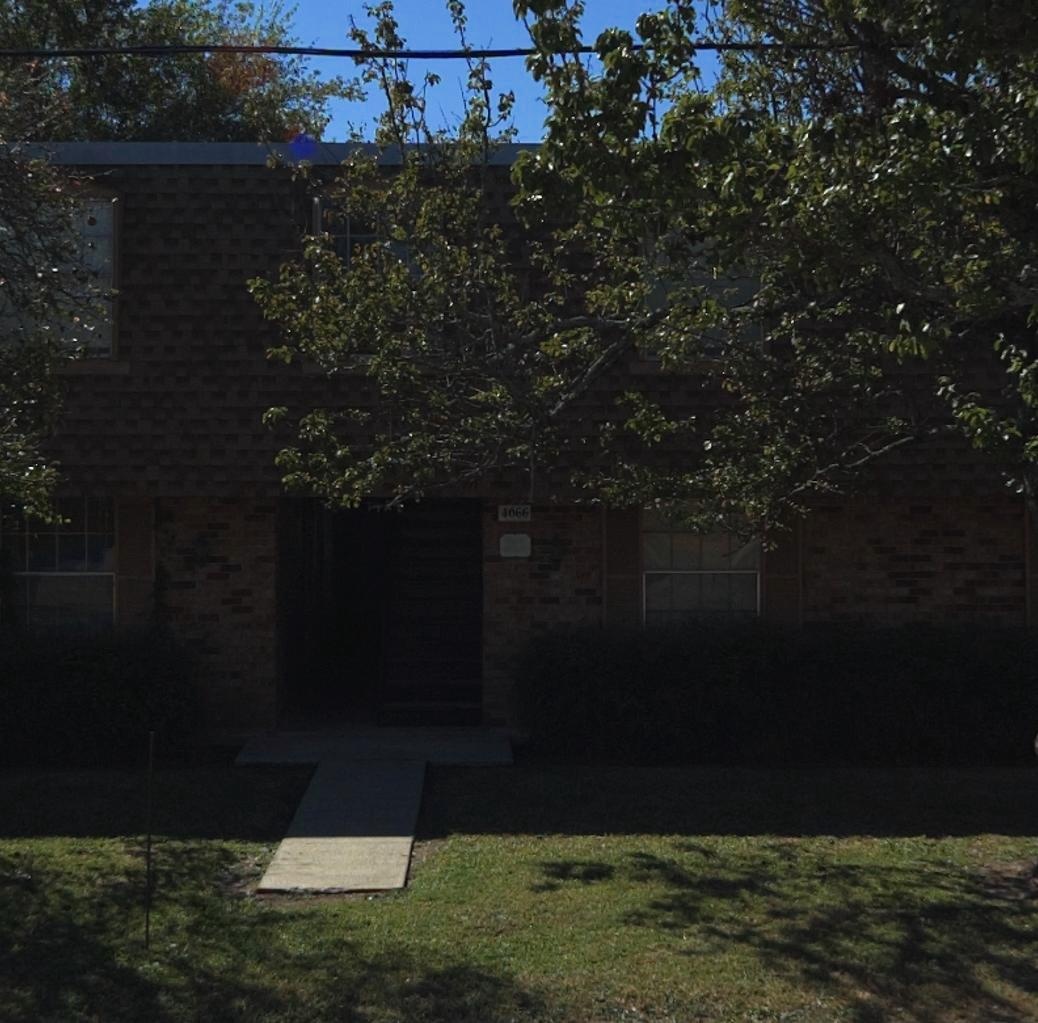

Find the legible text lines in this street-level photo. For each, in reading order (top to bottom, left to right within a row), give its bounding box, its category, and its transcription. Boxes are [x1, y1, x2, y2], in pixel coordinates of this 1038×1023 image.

[500, 507, 530, 519] StreetNumber: 4066